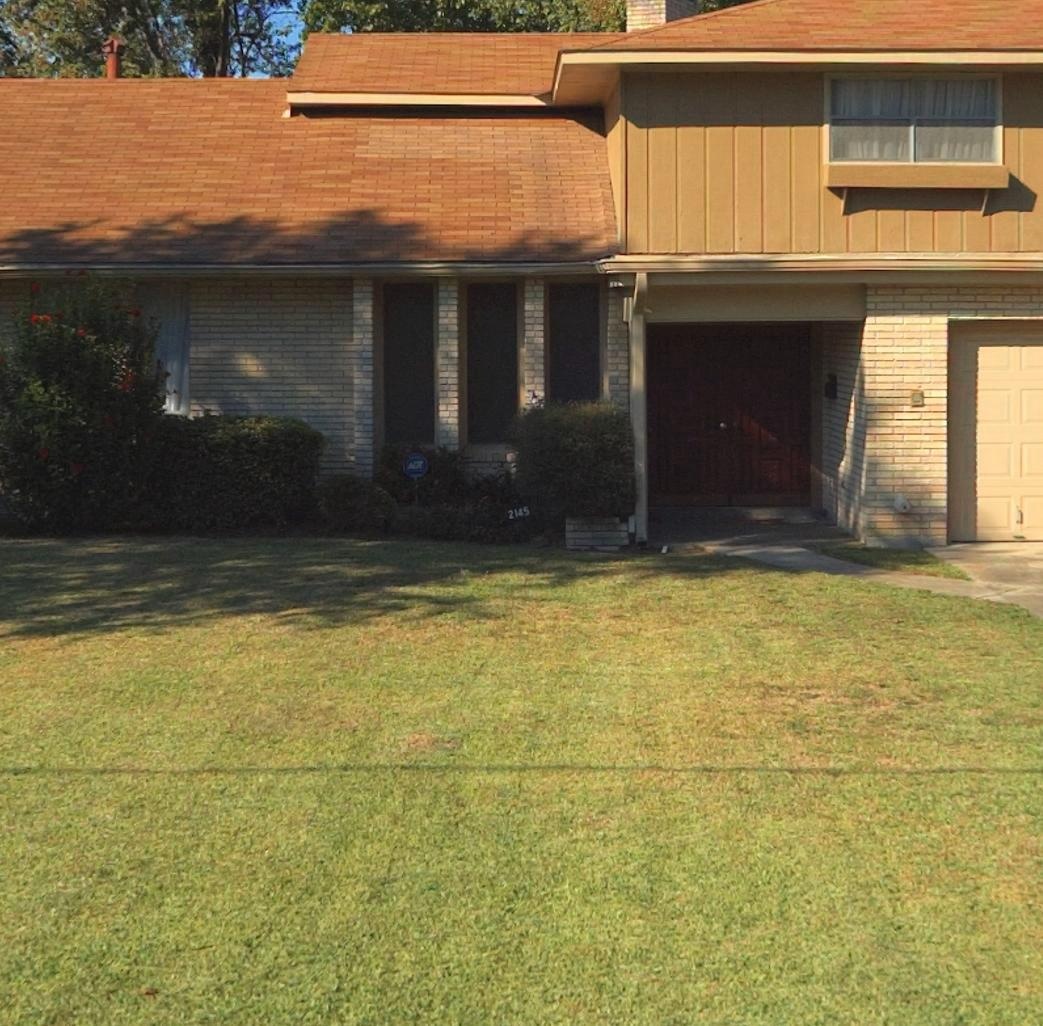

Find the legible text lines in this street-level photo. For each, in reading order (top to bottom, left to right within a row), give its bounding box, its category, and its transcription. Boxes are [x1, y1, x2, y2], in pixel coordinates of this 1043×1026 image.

[406, 459, 424, 470] None: ADT
[507, 505, 531, 521] StreetNumber: 2145